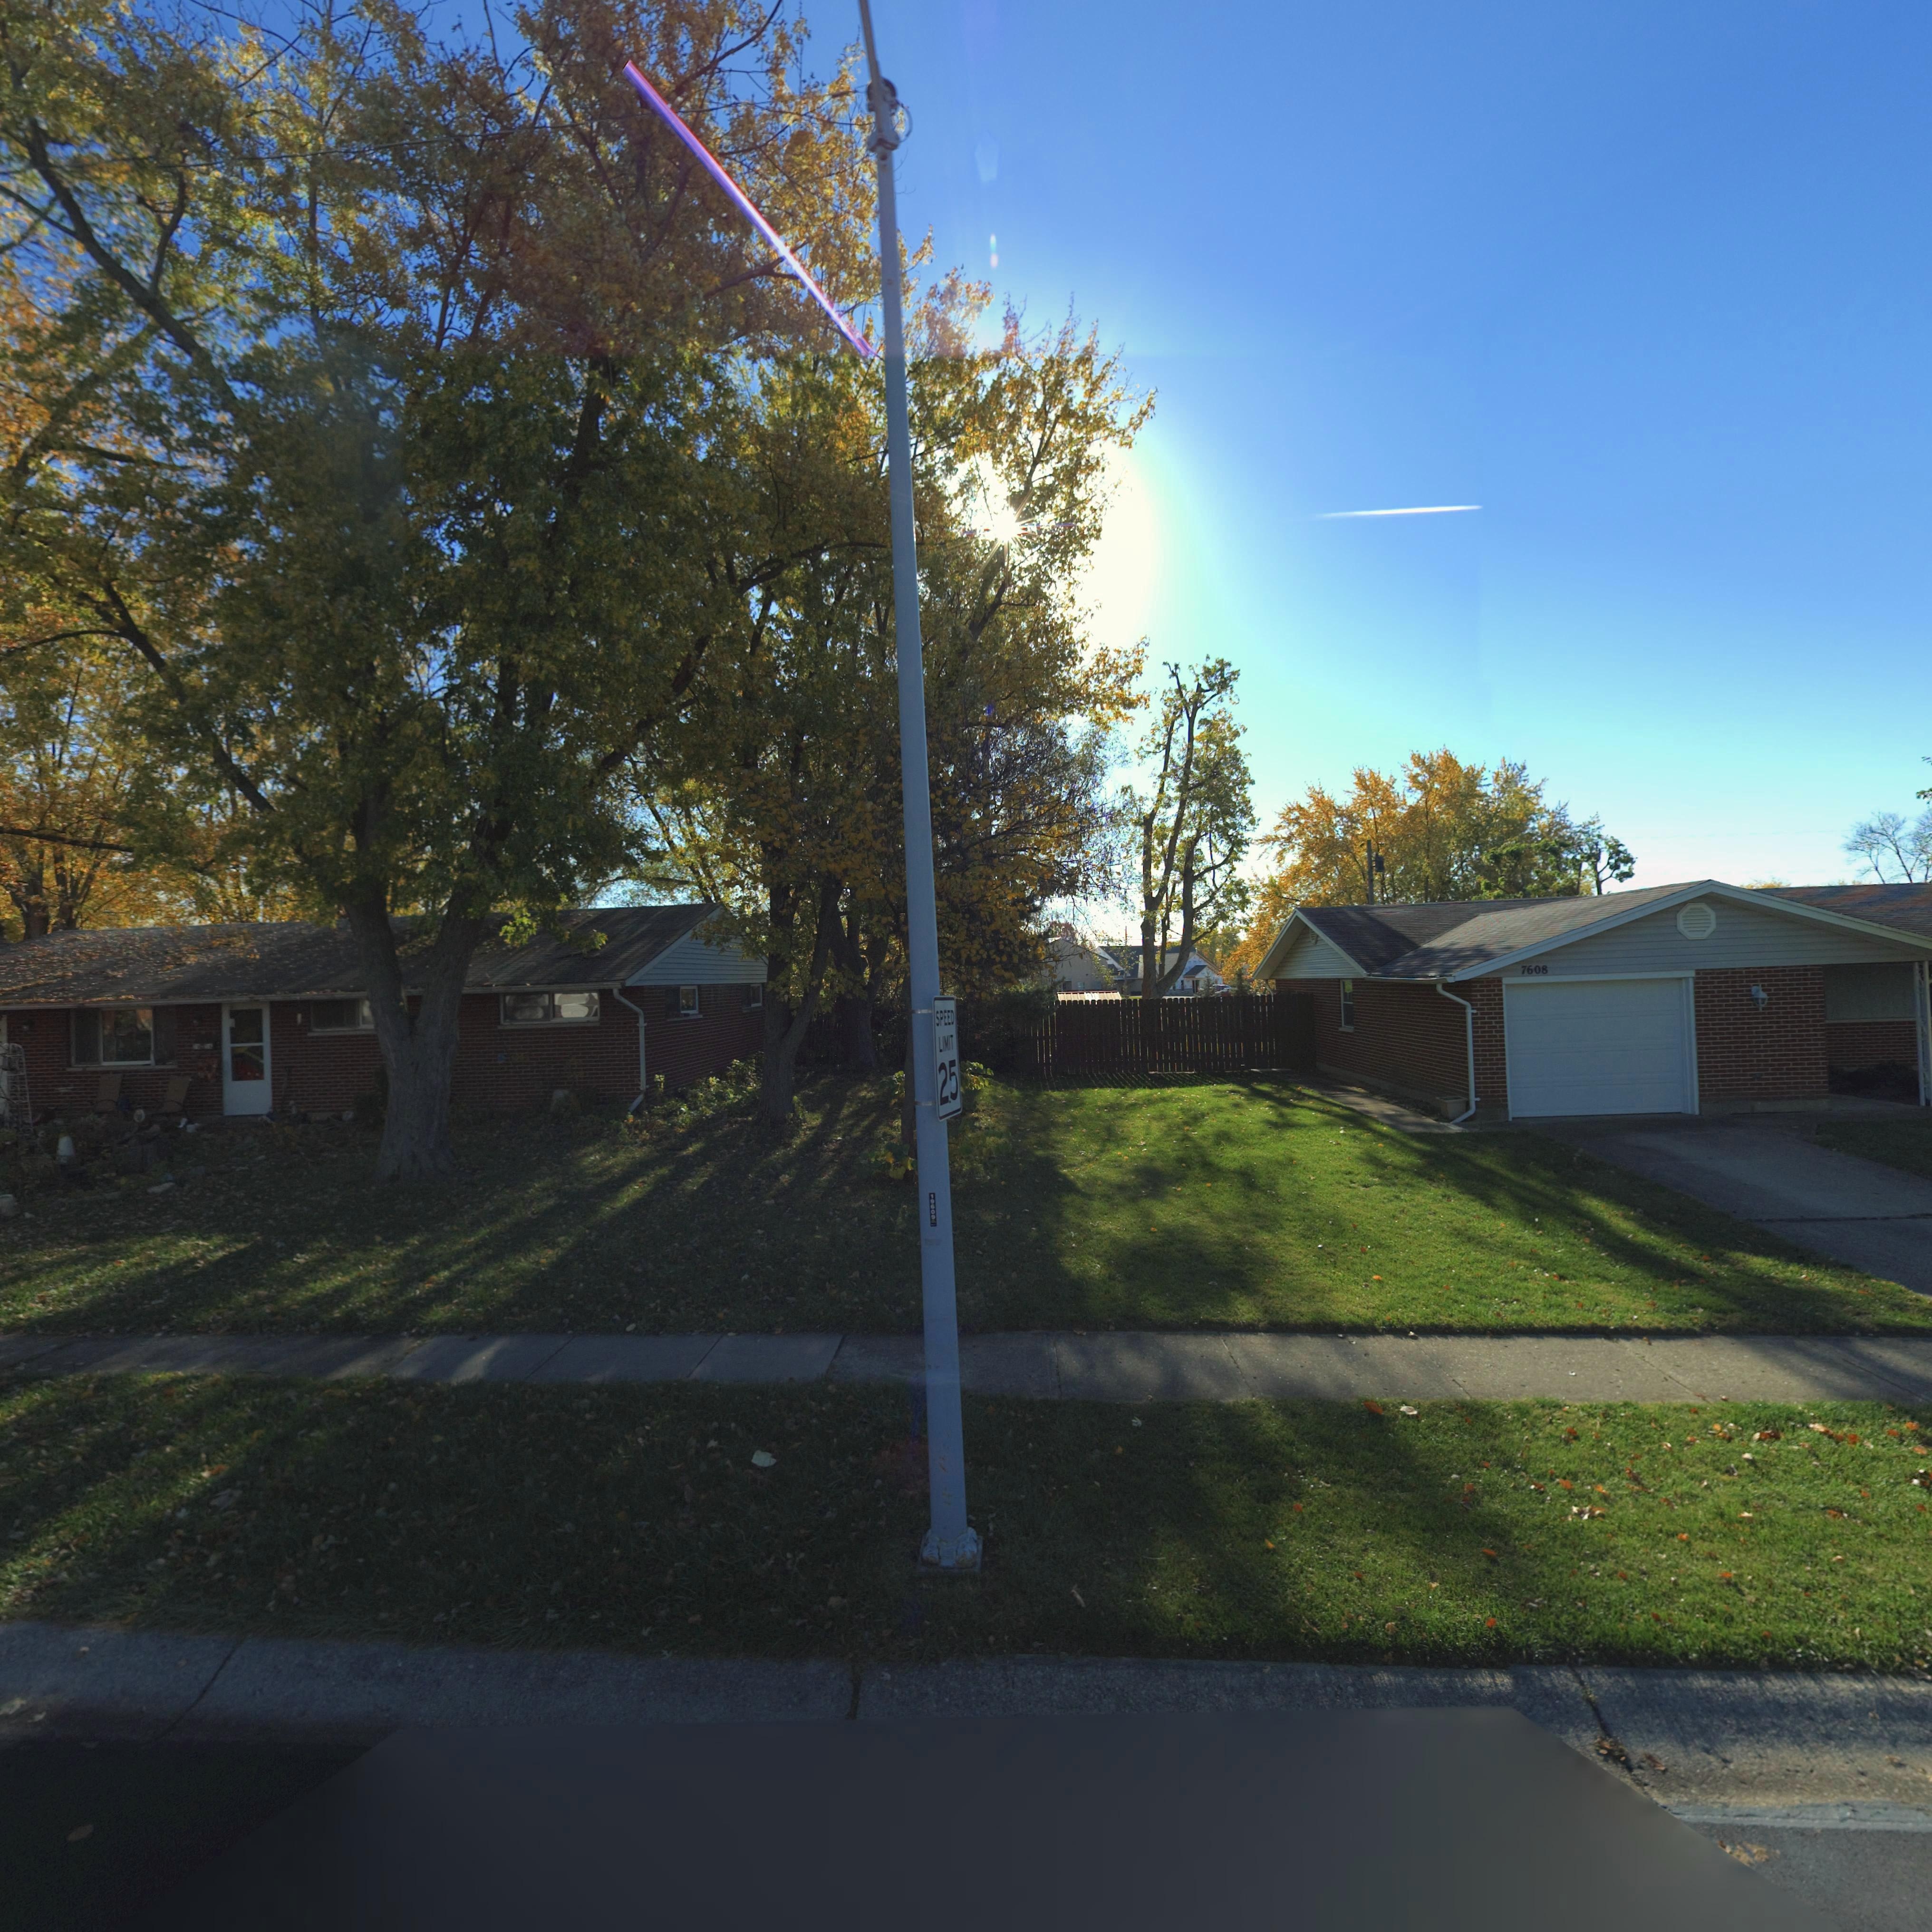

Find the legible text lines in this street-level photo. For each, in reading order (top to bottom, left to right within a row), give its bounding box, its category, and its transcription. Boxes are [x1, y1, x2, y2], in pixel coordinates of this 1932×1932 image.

[1520, 964, 1549, 976] StreetNumber: 7608